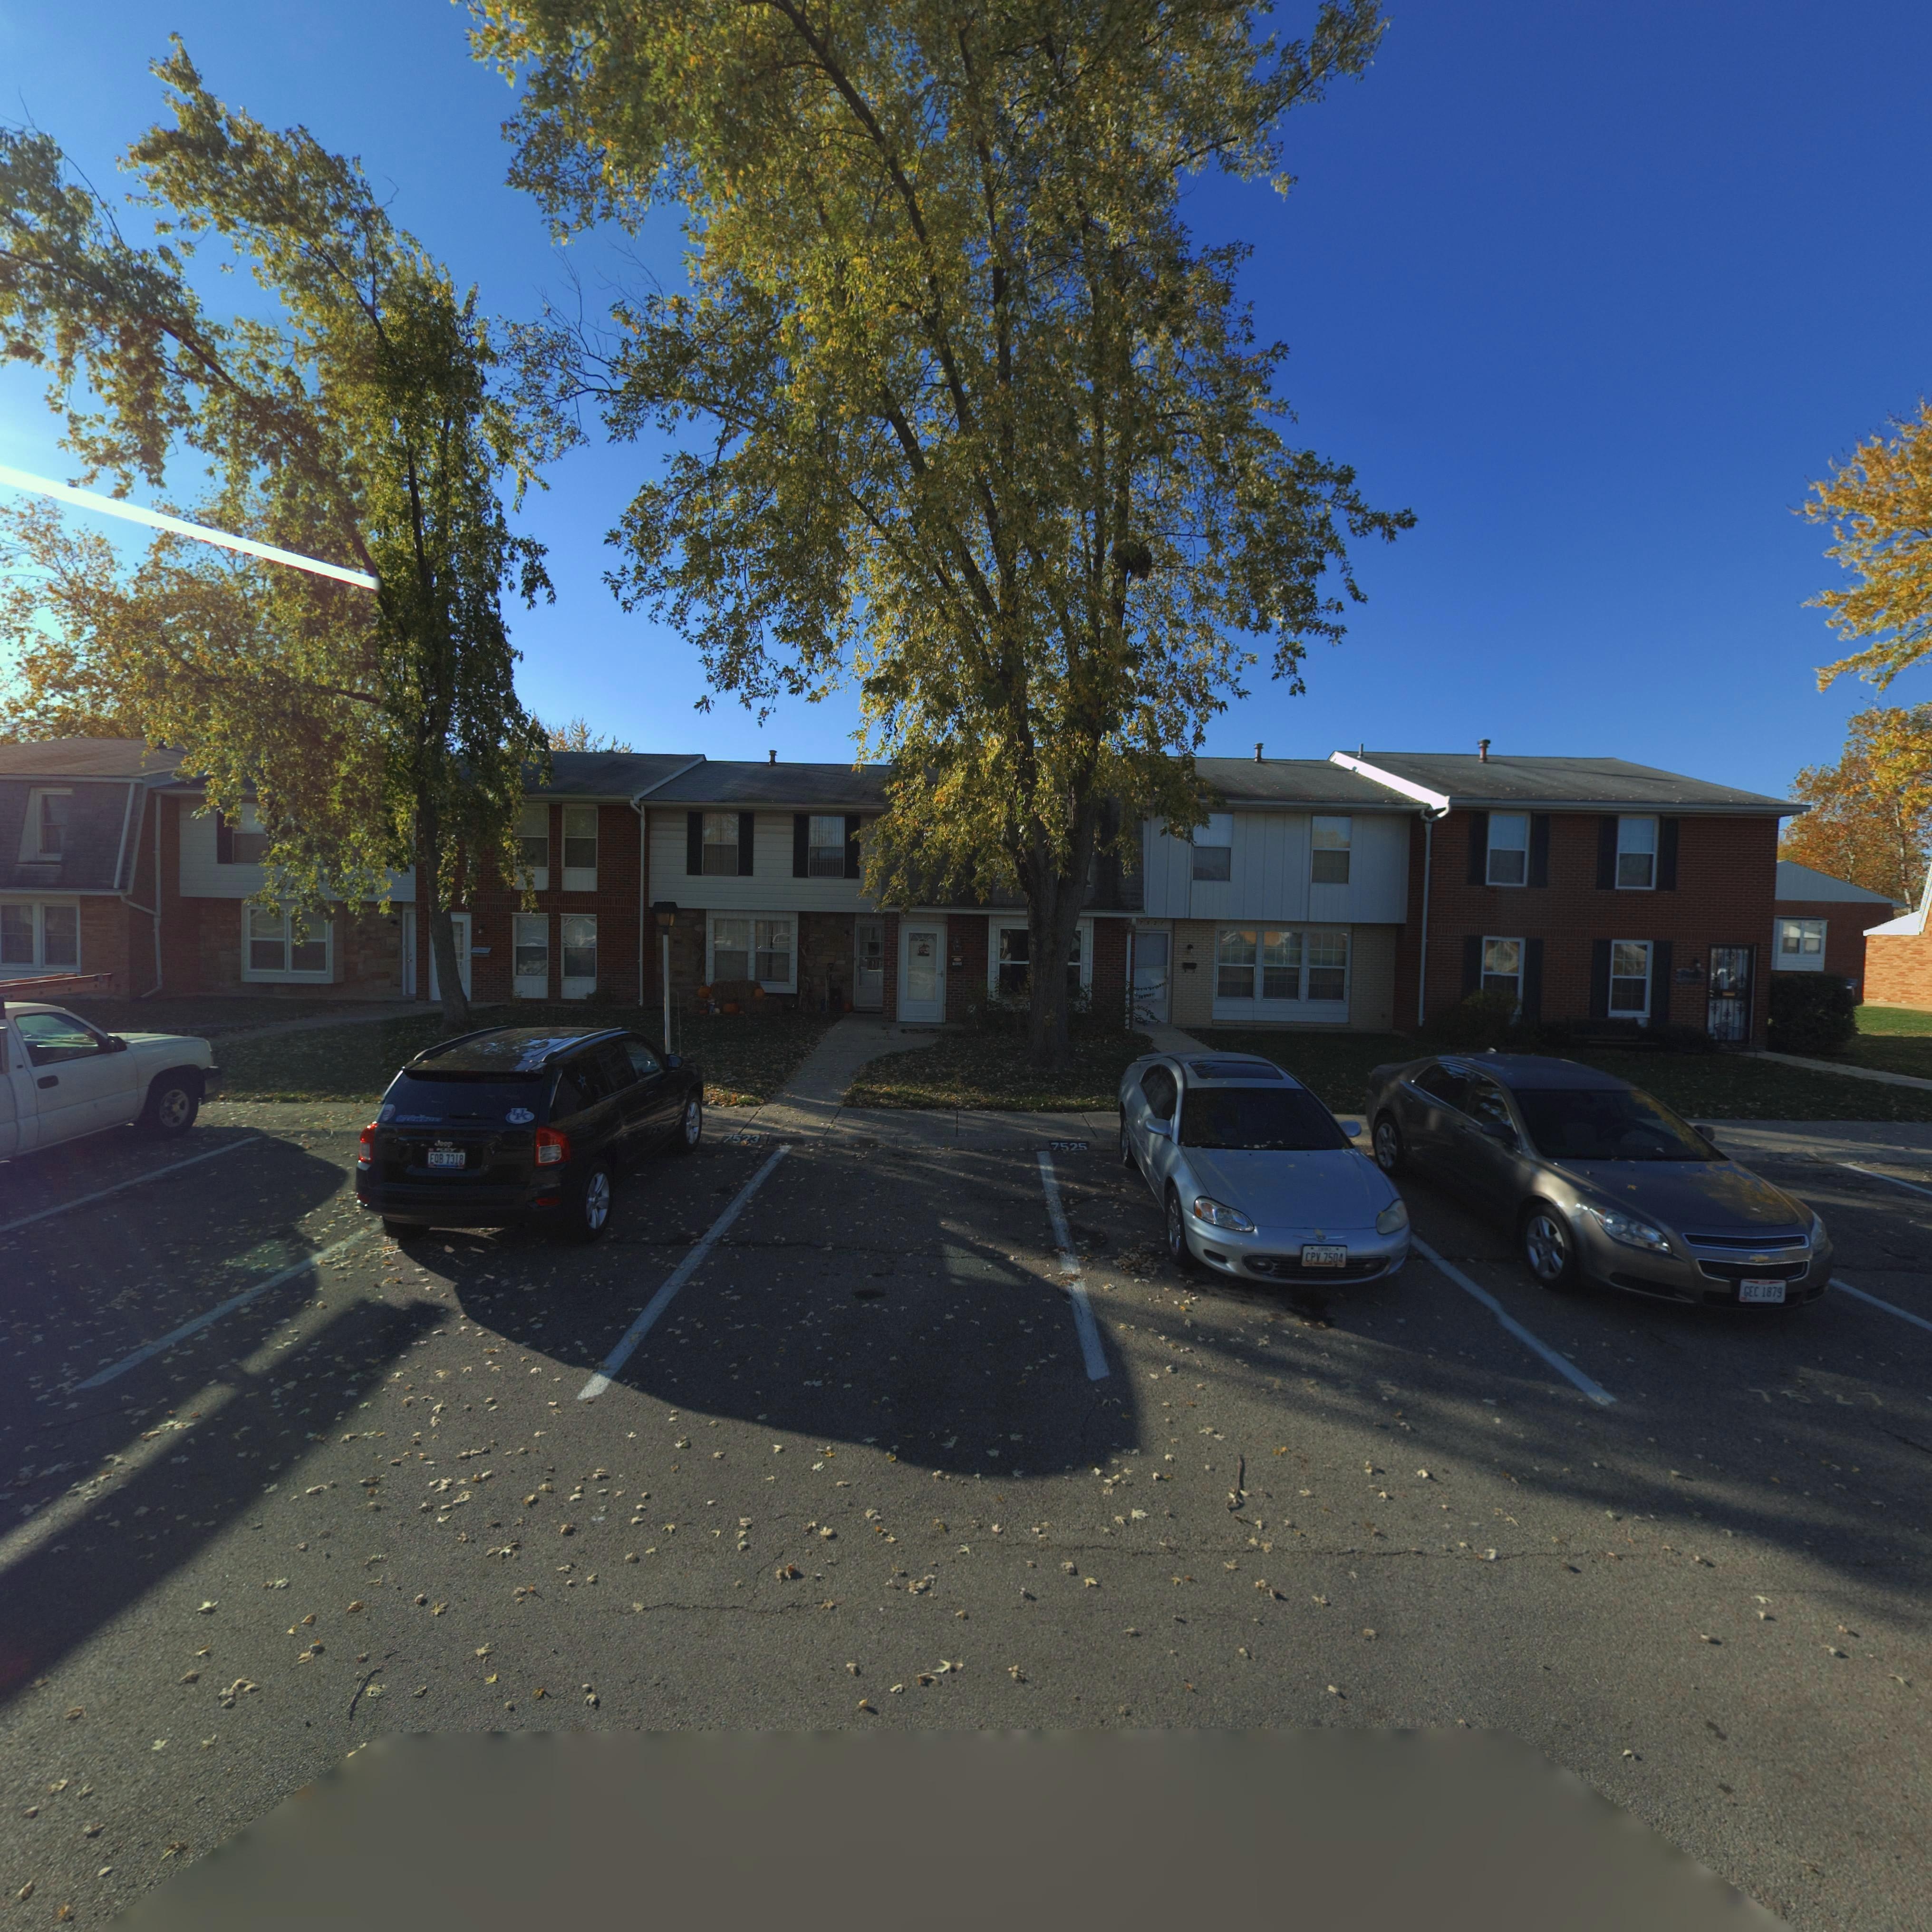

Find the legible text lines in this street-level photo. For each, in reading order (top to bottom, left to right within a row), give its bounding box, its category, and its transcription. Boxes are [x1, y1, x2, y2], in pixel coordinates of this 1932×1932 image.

[860, 914, 885, 920] StreetNumber: 752*
[1139, 920, 1165, 926] StreetNumber: 7527
[956, 962, 962, 966] StreetNumber: 25
[722, 1134, 761, 1143] StreetNumber: 7523
[1049, 1141, 1088, 1151] StreetNumber: 7525
[1743, 1388, 1886, 1407] StreetNumber: 7527